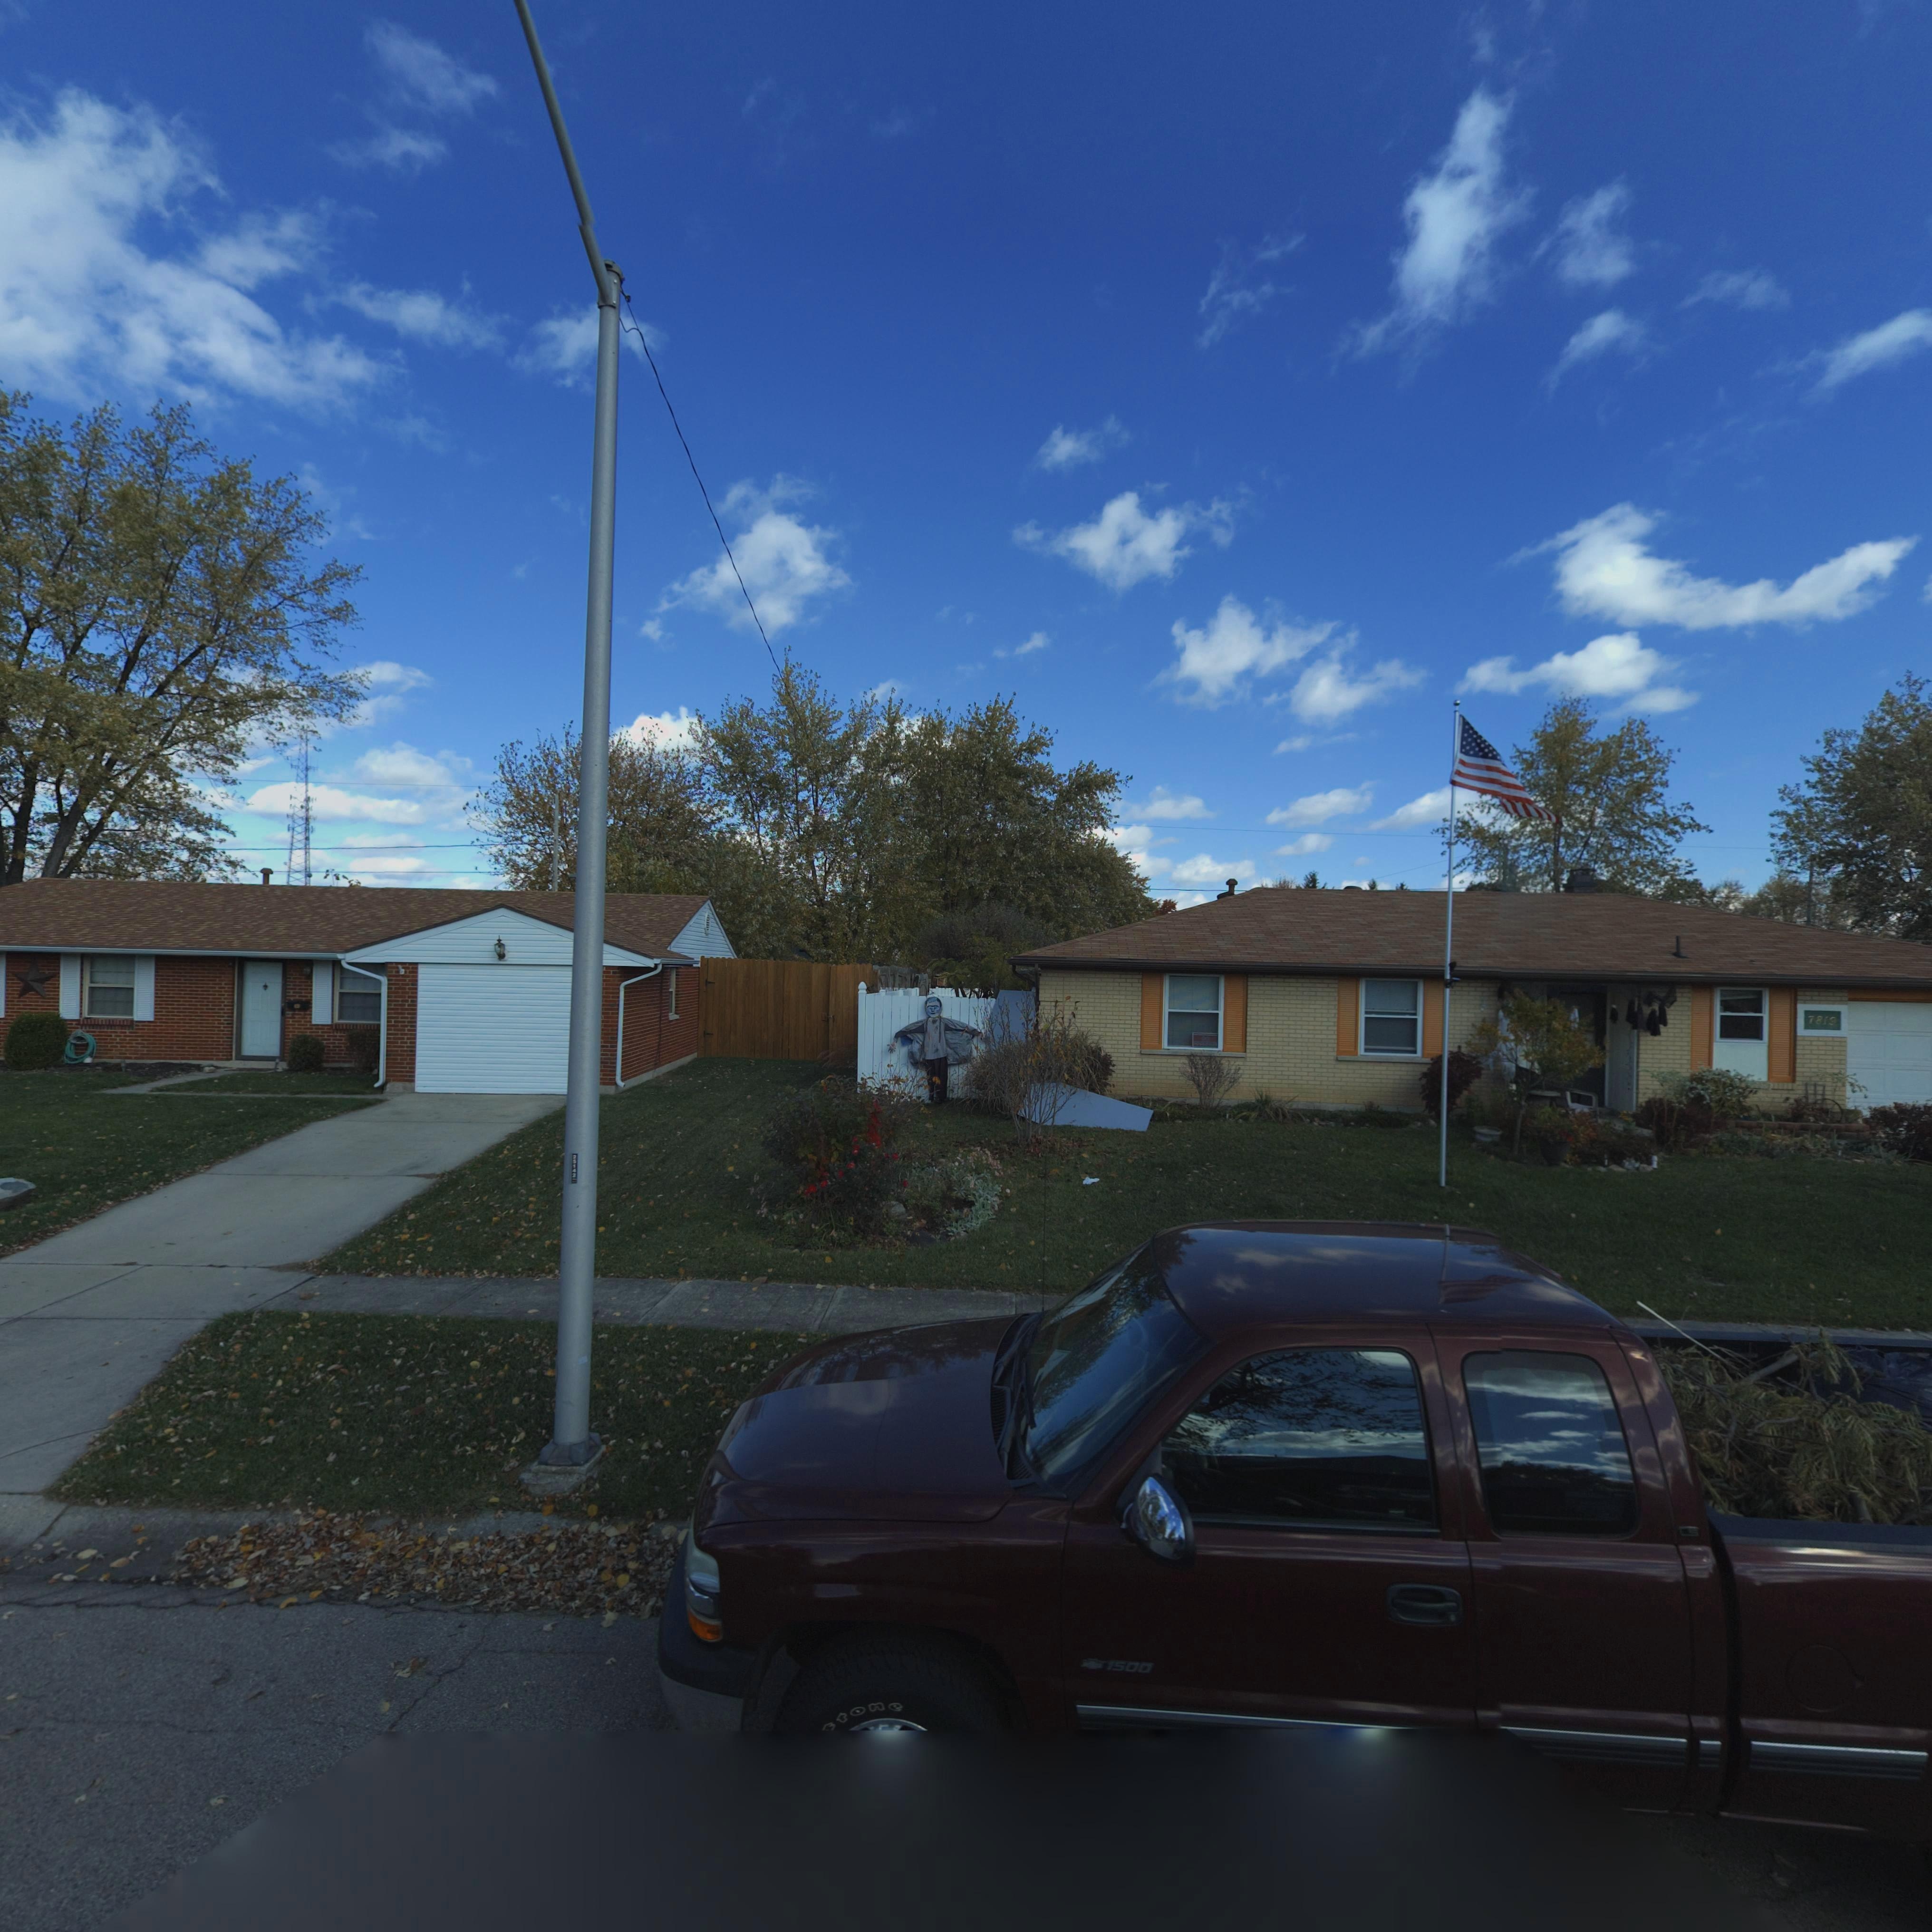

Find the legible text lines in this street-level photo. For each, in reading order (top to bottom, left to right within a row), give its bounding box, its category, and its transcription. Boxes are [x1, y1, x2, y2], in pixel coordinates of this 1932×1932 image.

[1808, 1015, 1838, 1027] StreetNumber: 7819